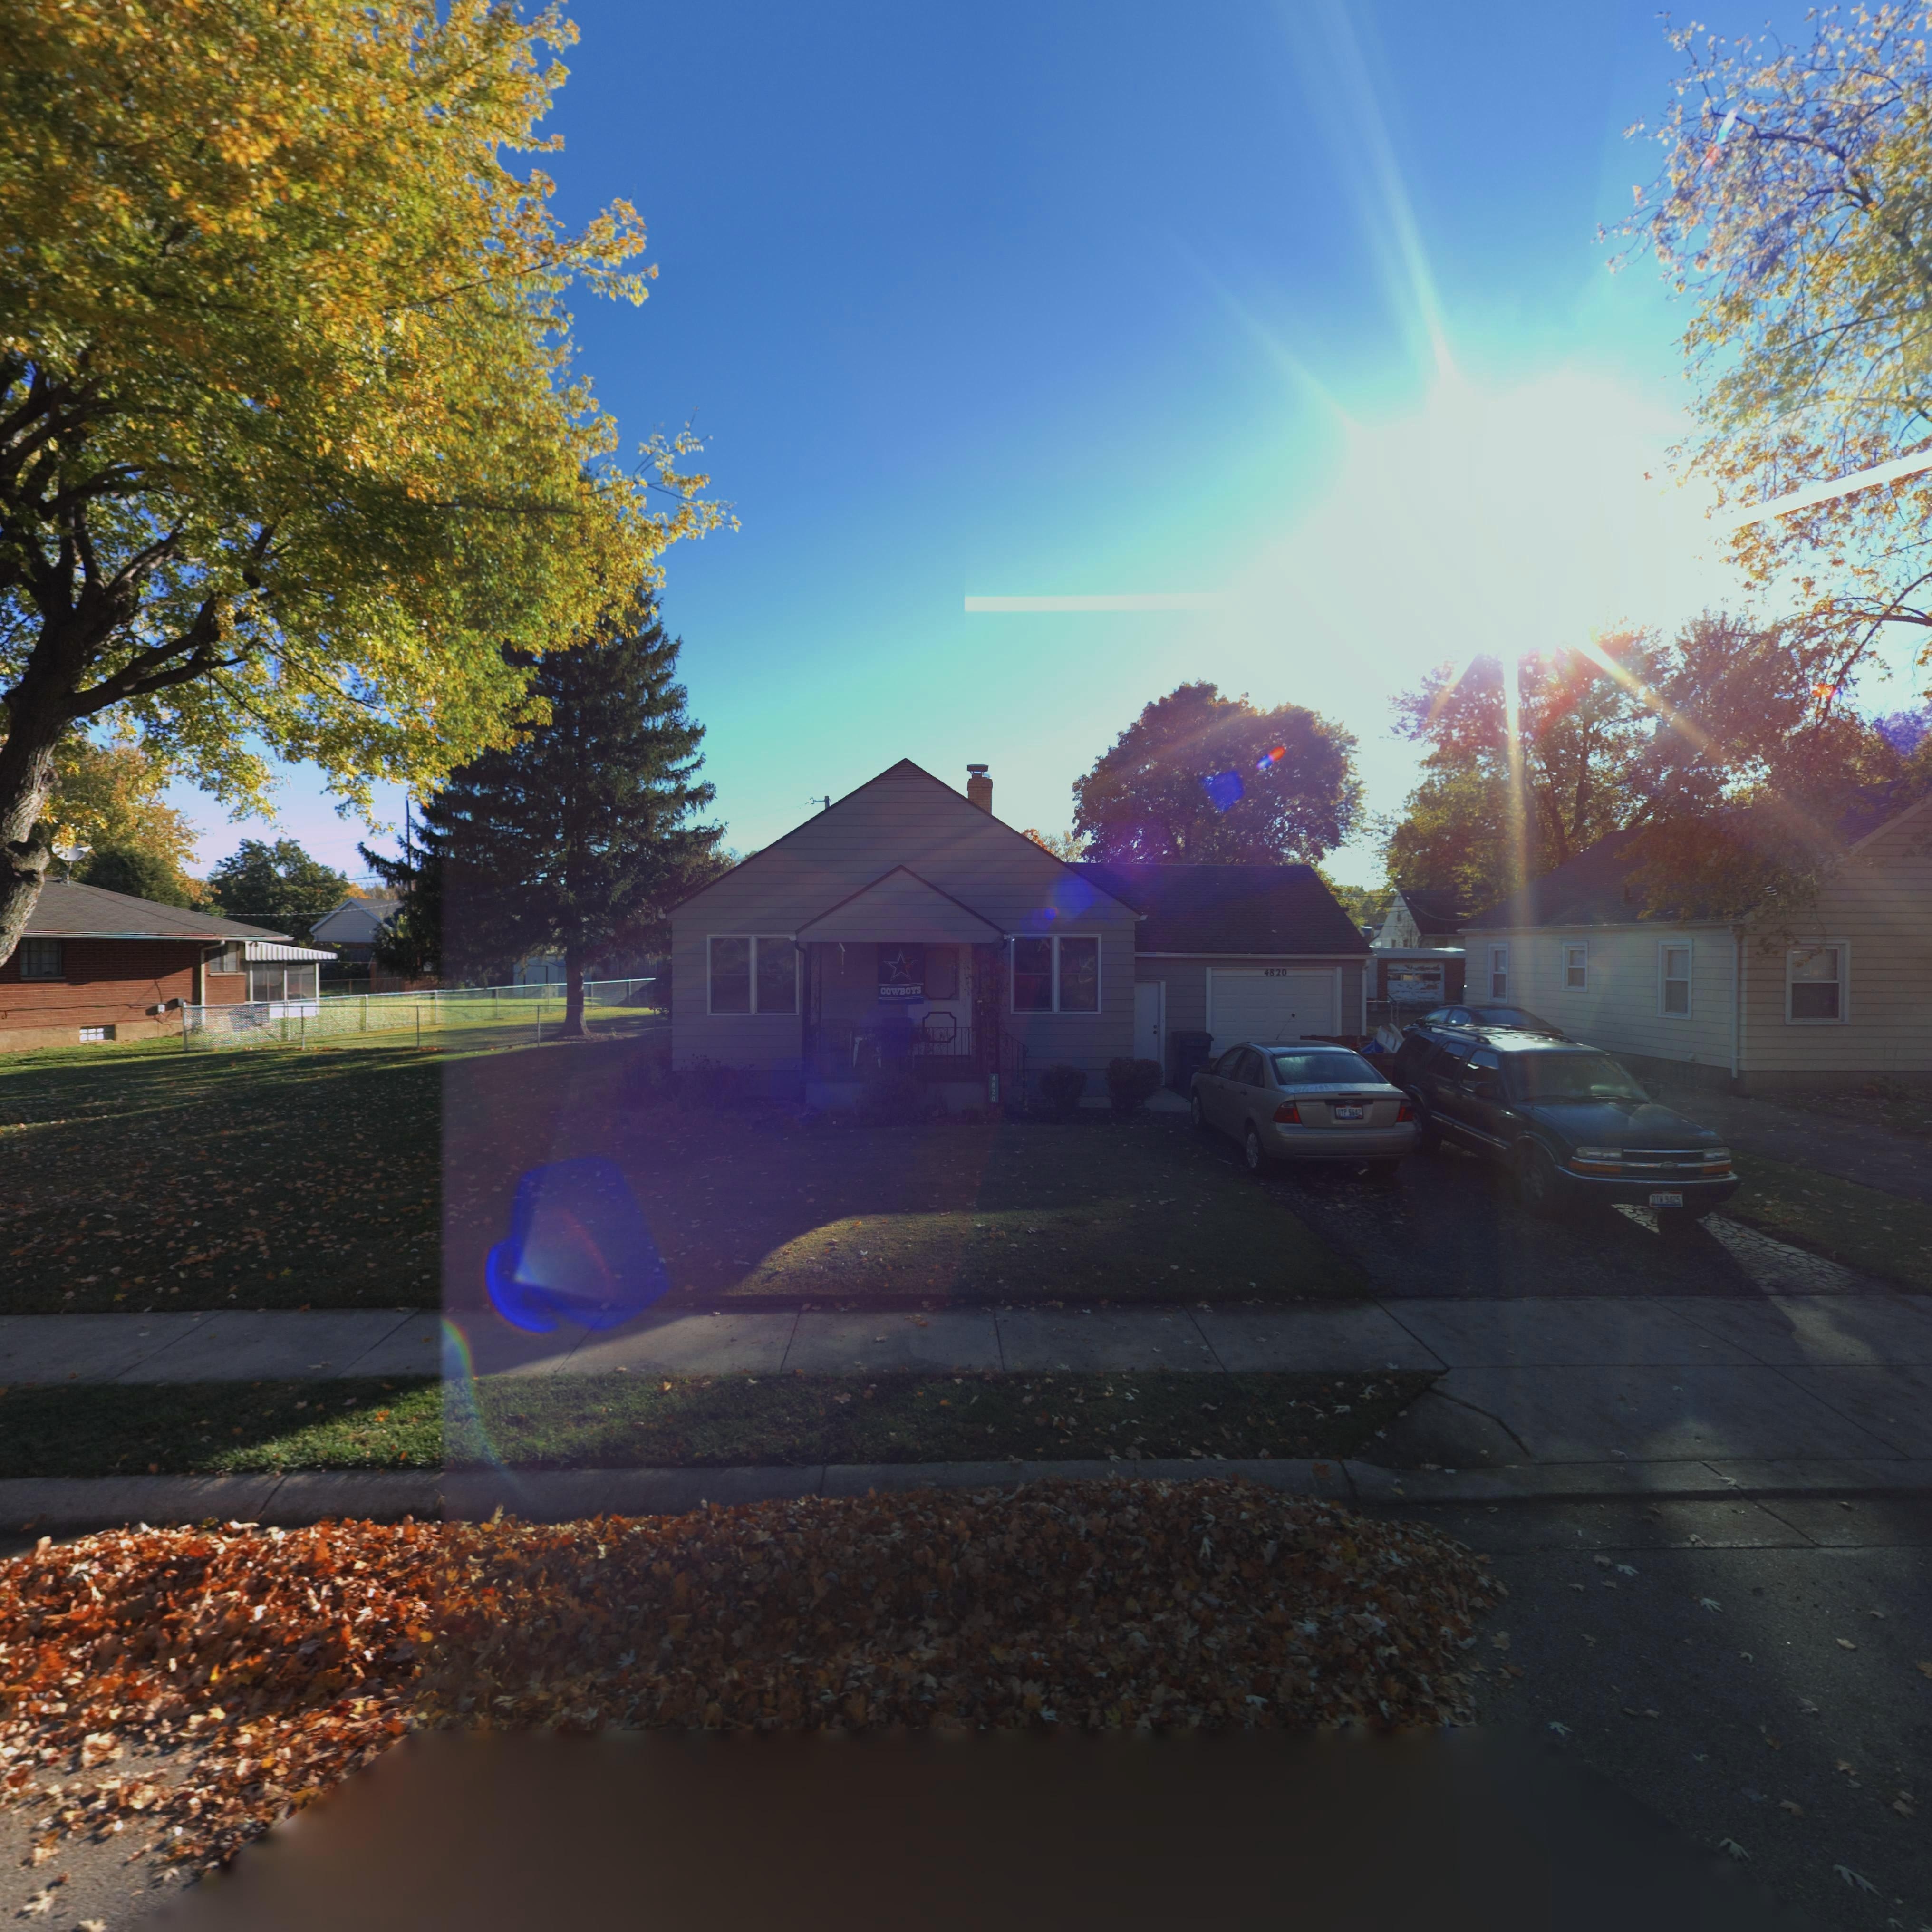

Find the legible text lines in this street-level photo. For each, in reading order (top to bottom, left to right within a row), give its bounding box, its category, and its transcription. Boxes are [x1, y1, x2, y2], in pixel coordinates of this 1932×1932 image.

[1263, 968, 1288, 977] StreetNumber: 4820
[991, 1074, 997, 1103] StreetNumber: 4820